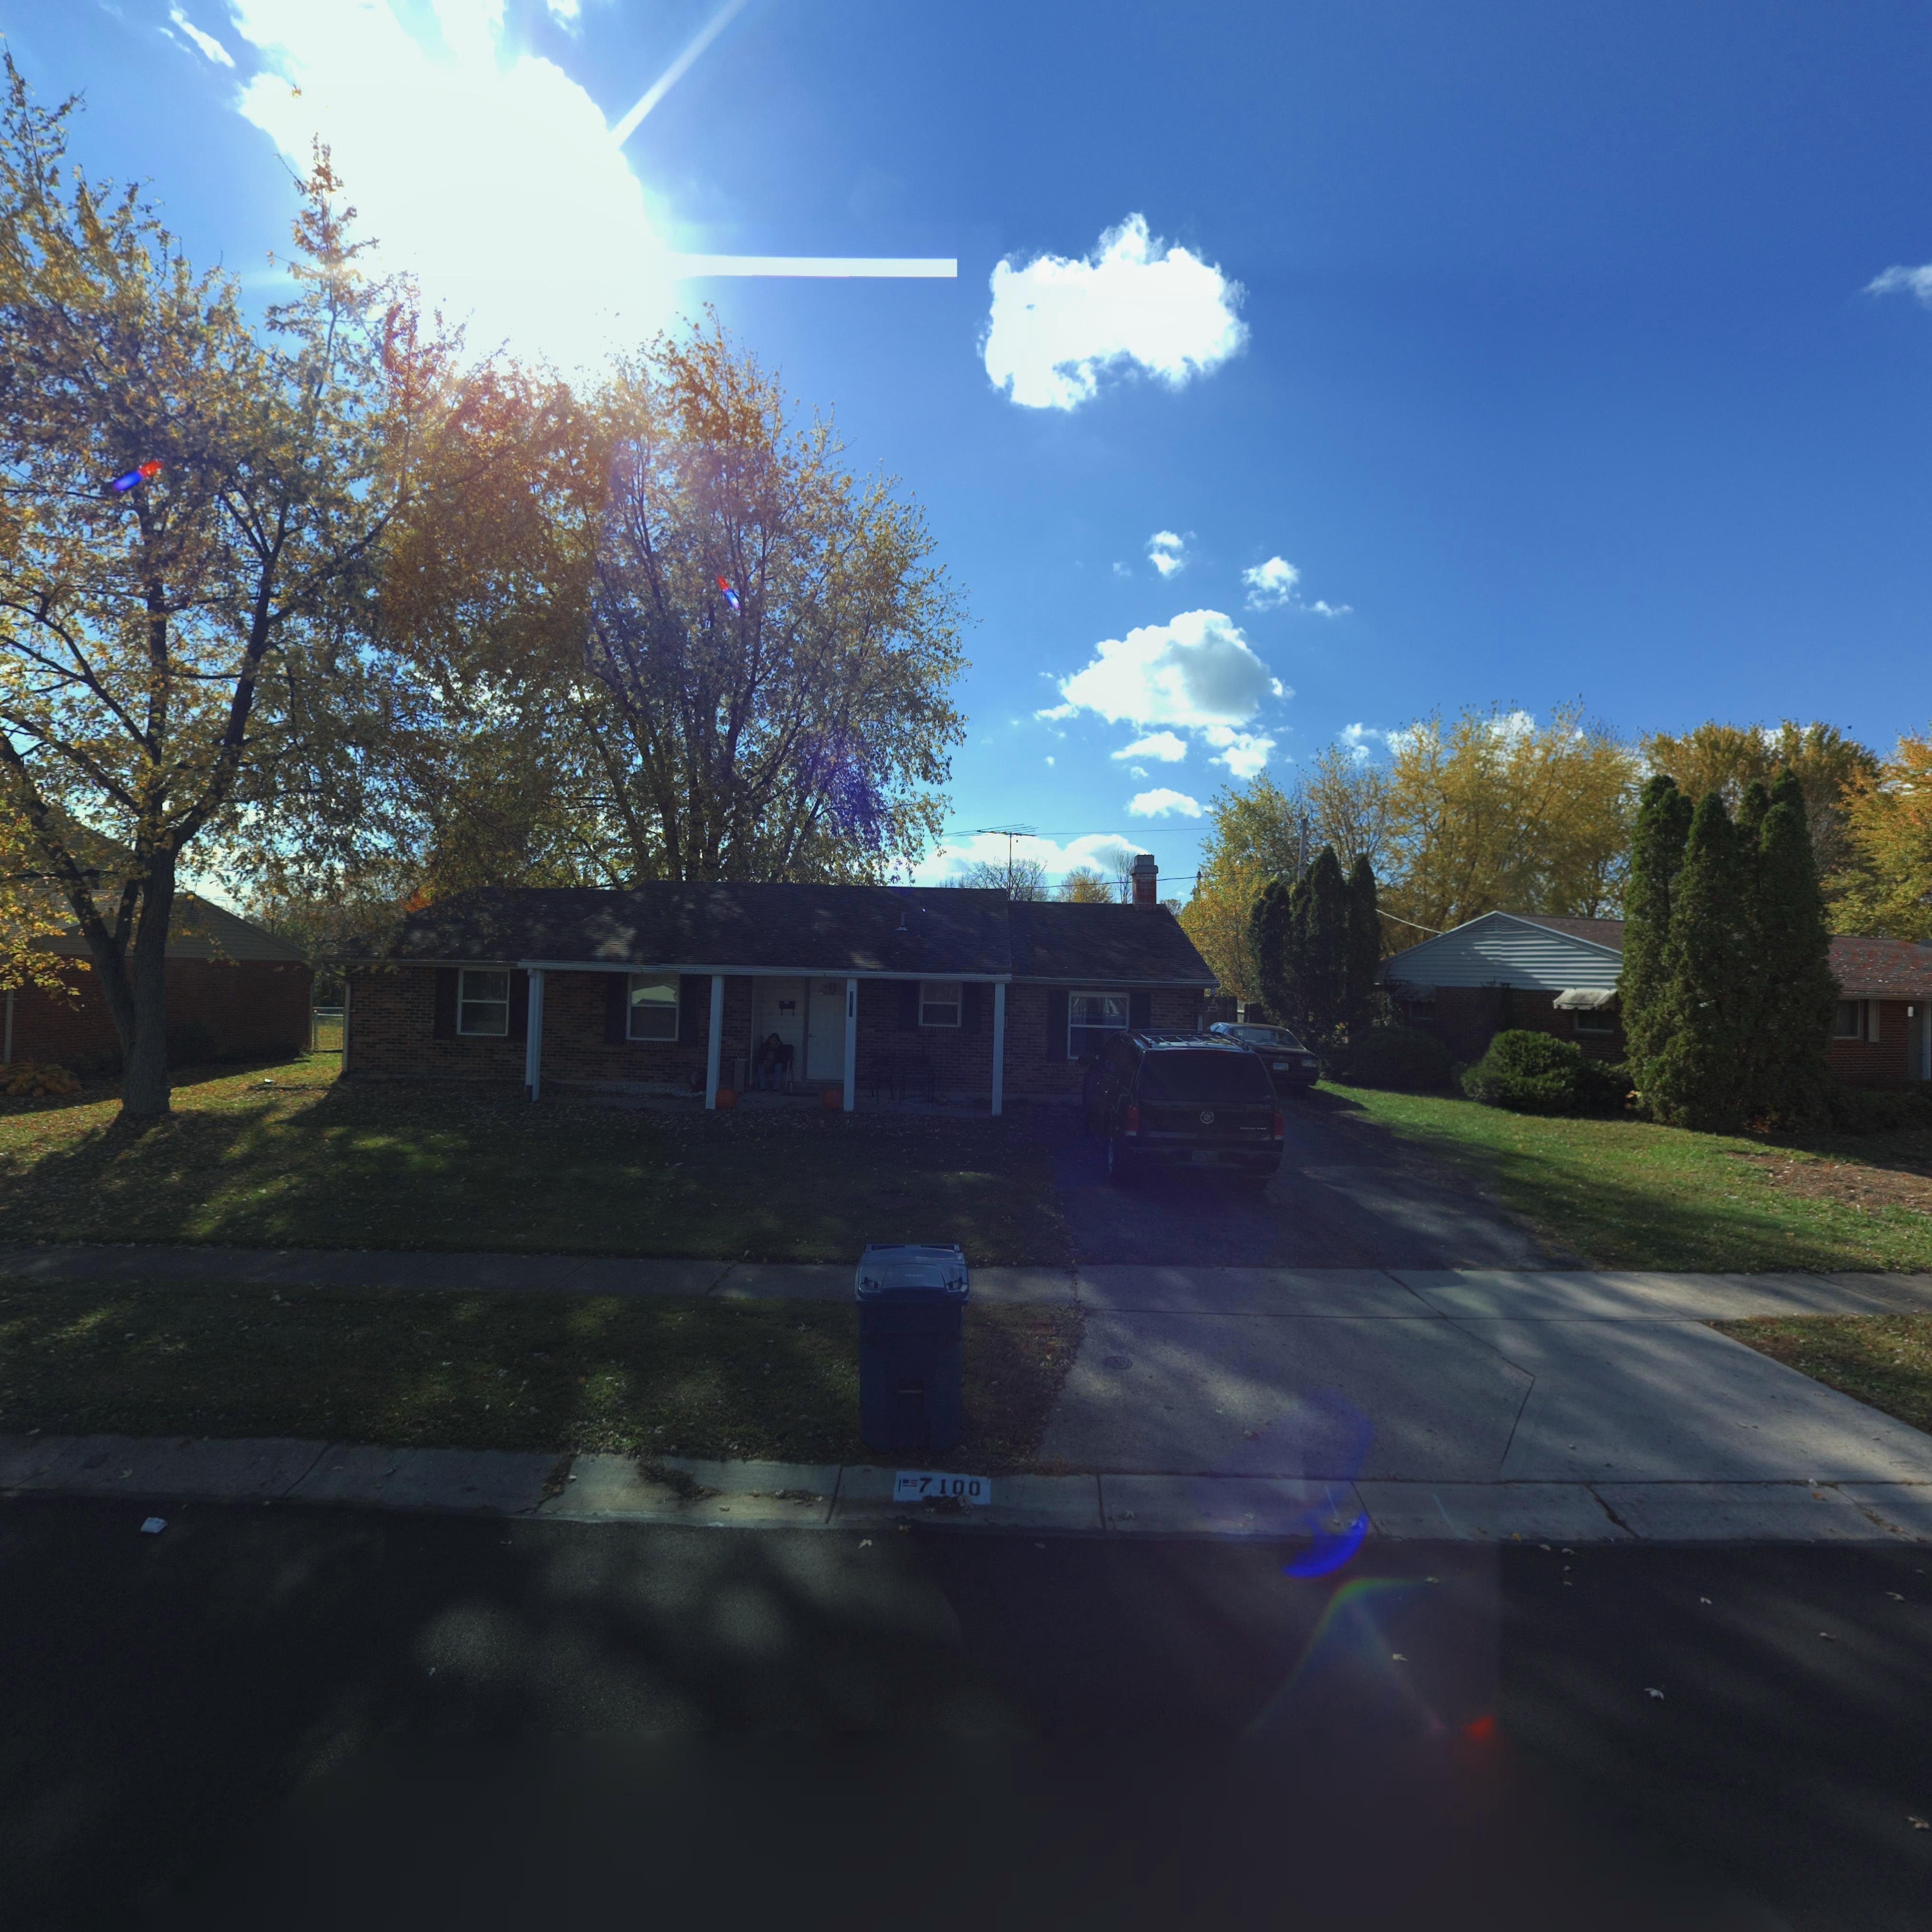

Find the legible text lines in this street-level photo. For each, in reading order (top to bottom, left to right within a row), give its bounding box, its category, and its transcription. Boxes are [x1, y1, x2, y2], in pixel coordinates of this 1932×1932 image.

[917, 1476, 983, 1498] StreetNumber: 7100